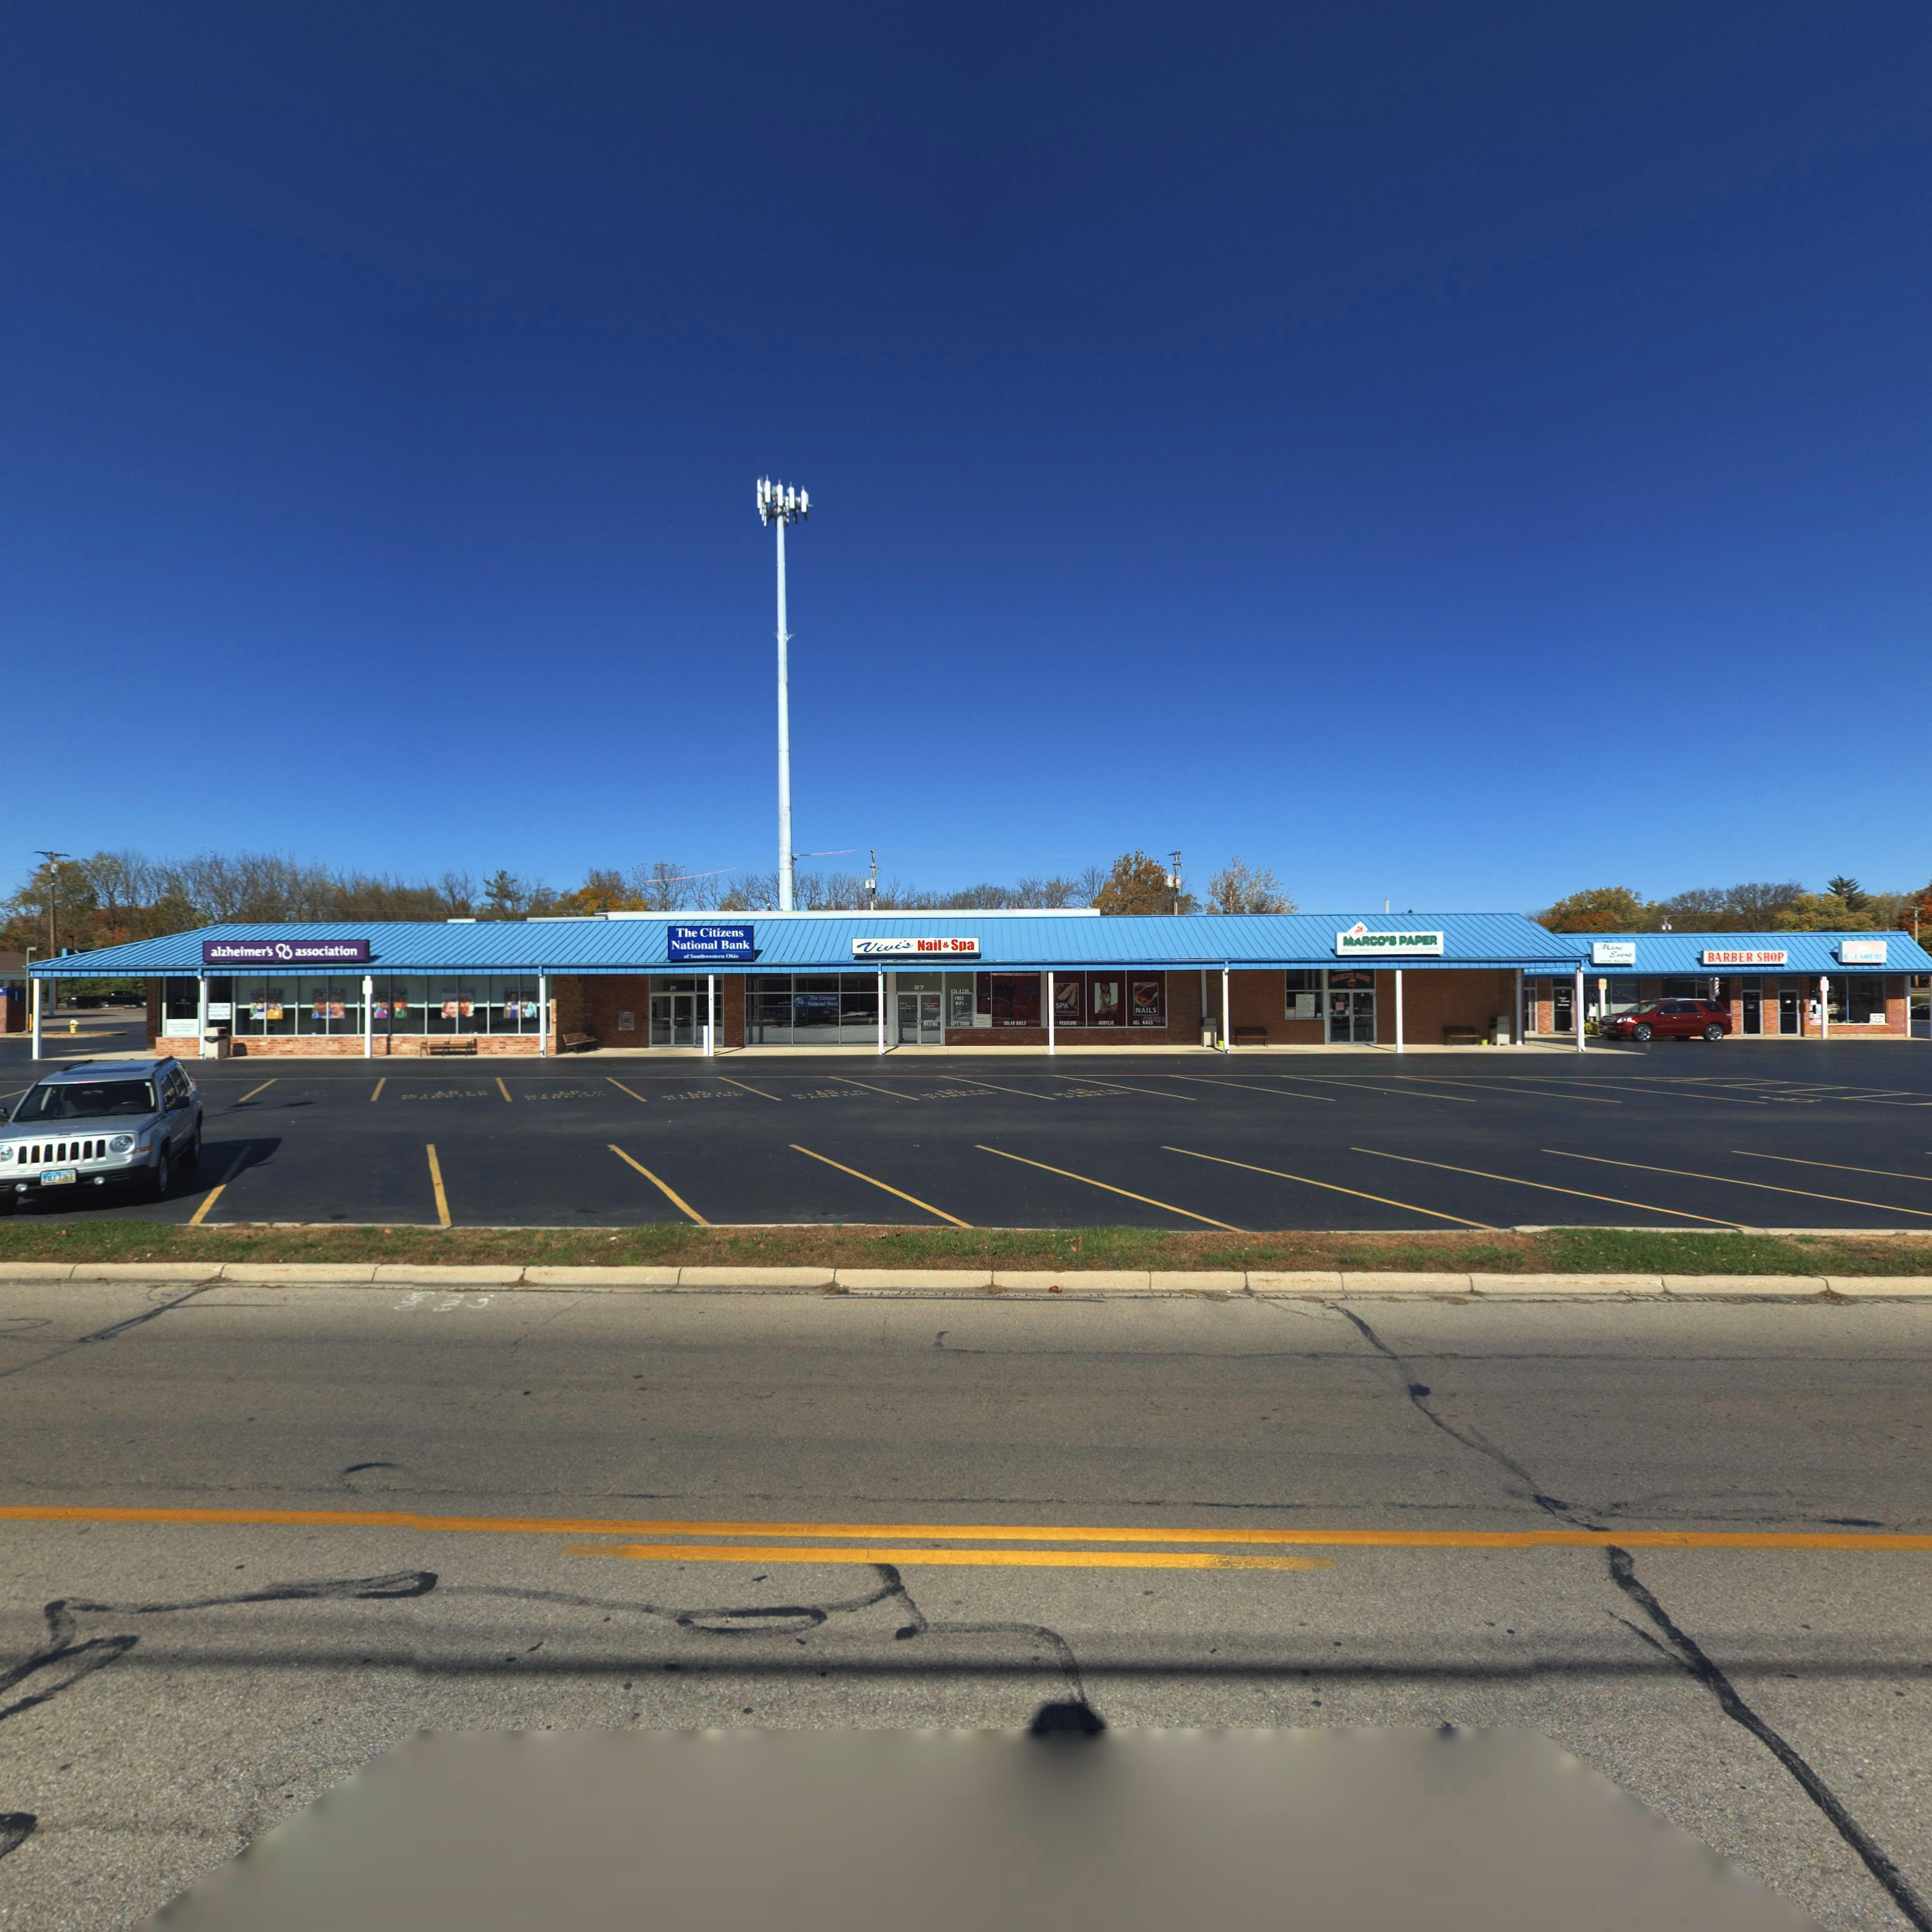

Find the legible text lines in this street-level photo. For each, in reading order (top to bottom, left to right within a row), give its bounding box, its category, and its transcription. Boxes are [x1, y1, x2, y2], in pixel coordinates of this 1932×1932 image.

[675, 927, 744, 938] BusinessName: The Citizens
[1342, 934, 1438, 947] BusinessName: MARCO'S PAPER
[670, 939, 751, 950] BusinessName: National Bank
[856, 938, 975, 953] BusinessName: Vivi's Nail & Spa
[1595, 942, 1624, 951] BusinessName: Mane
[210, 945, 358, 957] BusinessName: alzheimer's * association
[682, 953, 740, 959] None: of Southwestern Ohio
[1607, 950, 1633, 958] BusinessName: Event
[1707, 952, 1785, 963] BusinessName: BARBER SHOP
[1845, 953, 1884, 961] BusinessName: CLEANERS
[669, 985, 677, 991] StreetNumber: 29
[914, 985, 925, 991] StreetNumber: 27
[809, 995, 837, 1001] BusinessName: The Citi*ens
[955, 995, 964, 1001] None: FREE
[1585, 992, 1597, 1002] BusinessName: M
[1612, 988, 1624, 998] BusinessName: E
[807, 1001, 812, 1007] BusinessName: N
[824, 1001, 839, 1006] BusinessName: l Bank
[955, 1000, 964, 1006] None: WIFI
[1055, 1002, 1070, 1009] None: SPA
[1135, 1006, 1158, 1014] None: NAILS
[922, 1021, 938, 1026] None: WAXING
[950, 1021, 970, 1026] None: GIFT CARD
[1003, 1020, 1027, 1026] None: SOLAR NAILS
[1058, 1020, 1077, 1026] None: PED*C**E
[1098, 1020, 1115, 1025] None: *CRYLIC
[1132, 1019, 1154, 1025] None: GEL NAILS
[52, 1173, 73, 1182] None: J*3*61